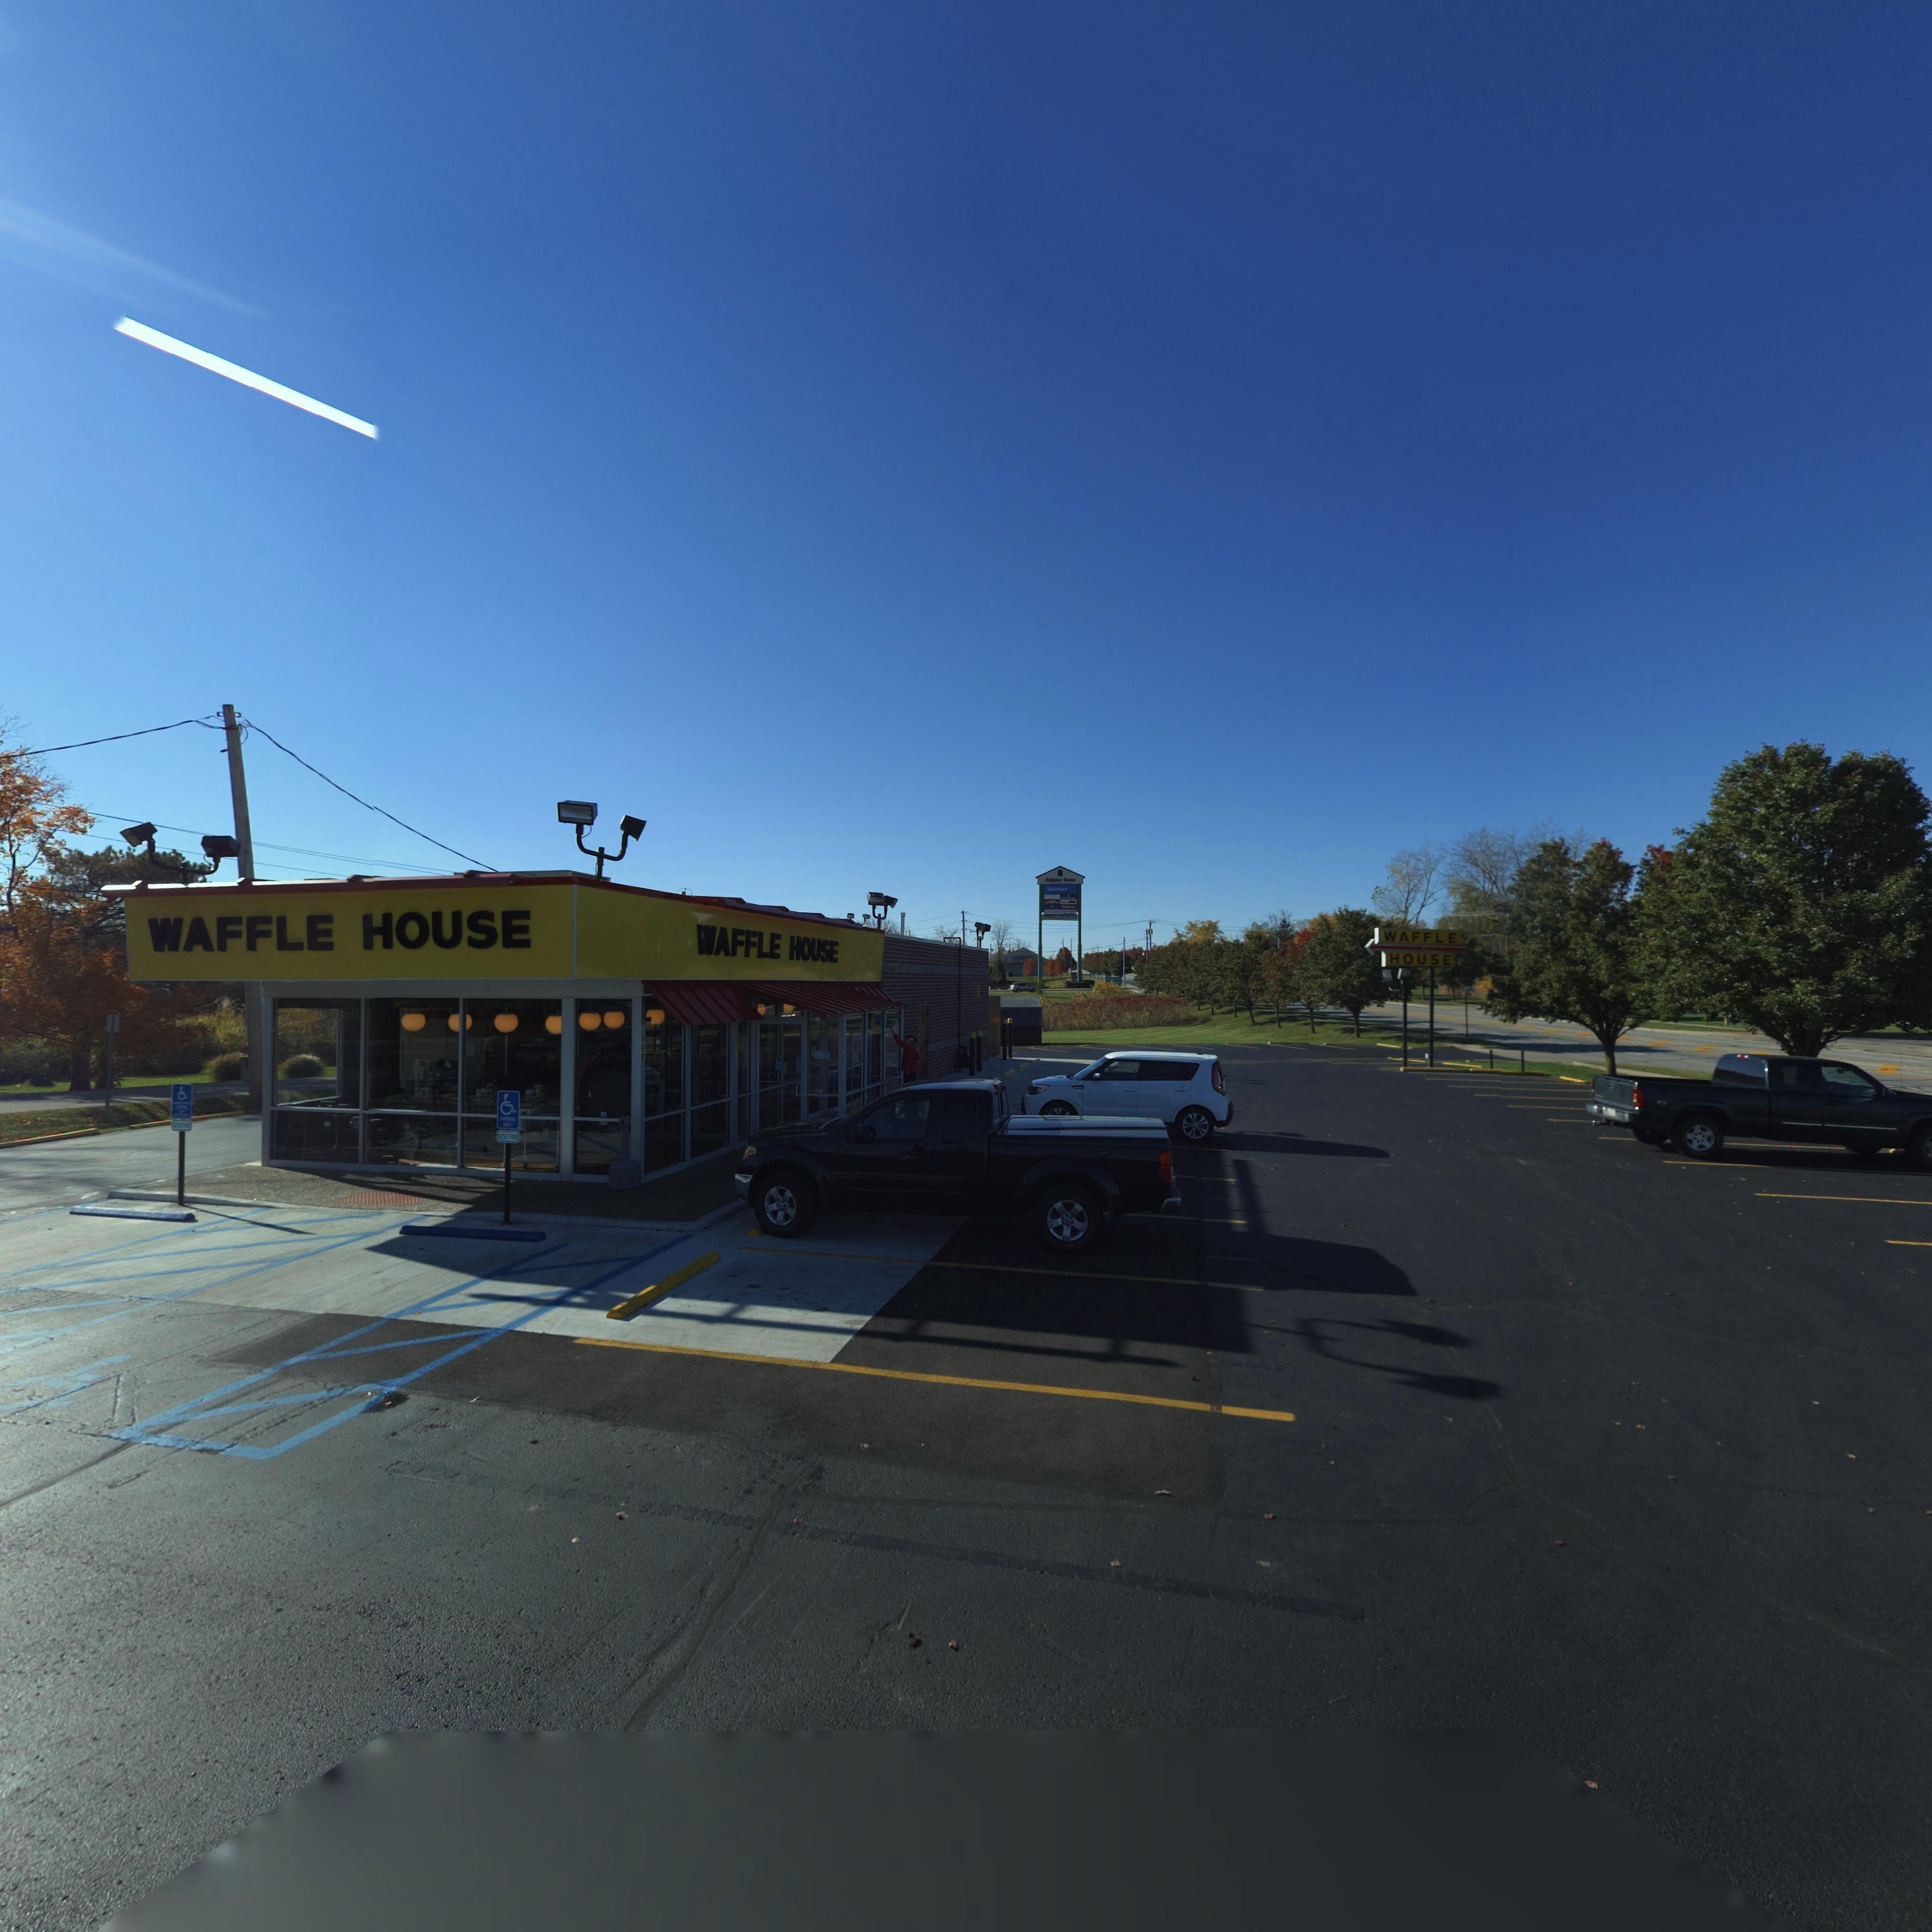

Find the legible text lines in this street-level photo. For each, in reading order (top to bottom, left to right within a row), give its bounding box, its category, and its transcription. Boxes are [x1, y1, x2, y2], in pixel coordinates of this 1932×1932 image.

[641, 1024, 645, 1062] StreetNumber: 7800